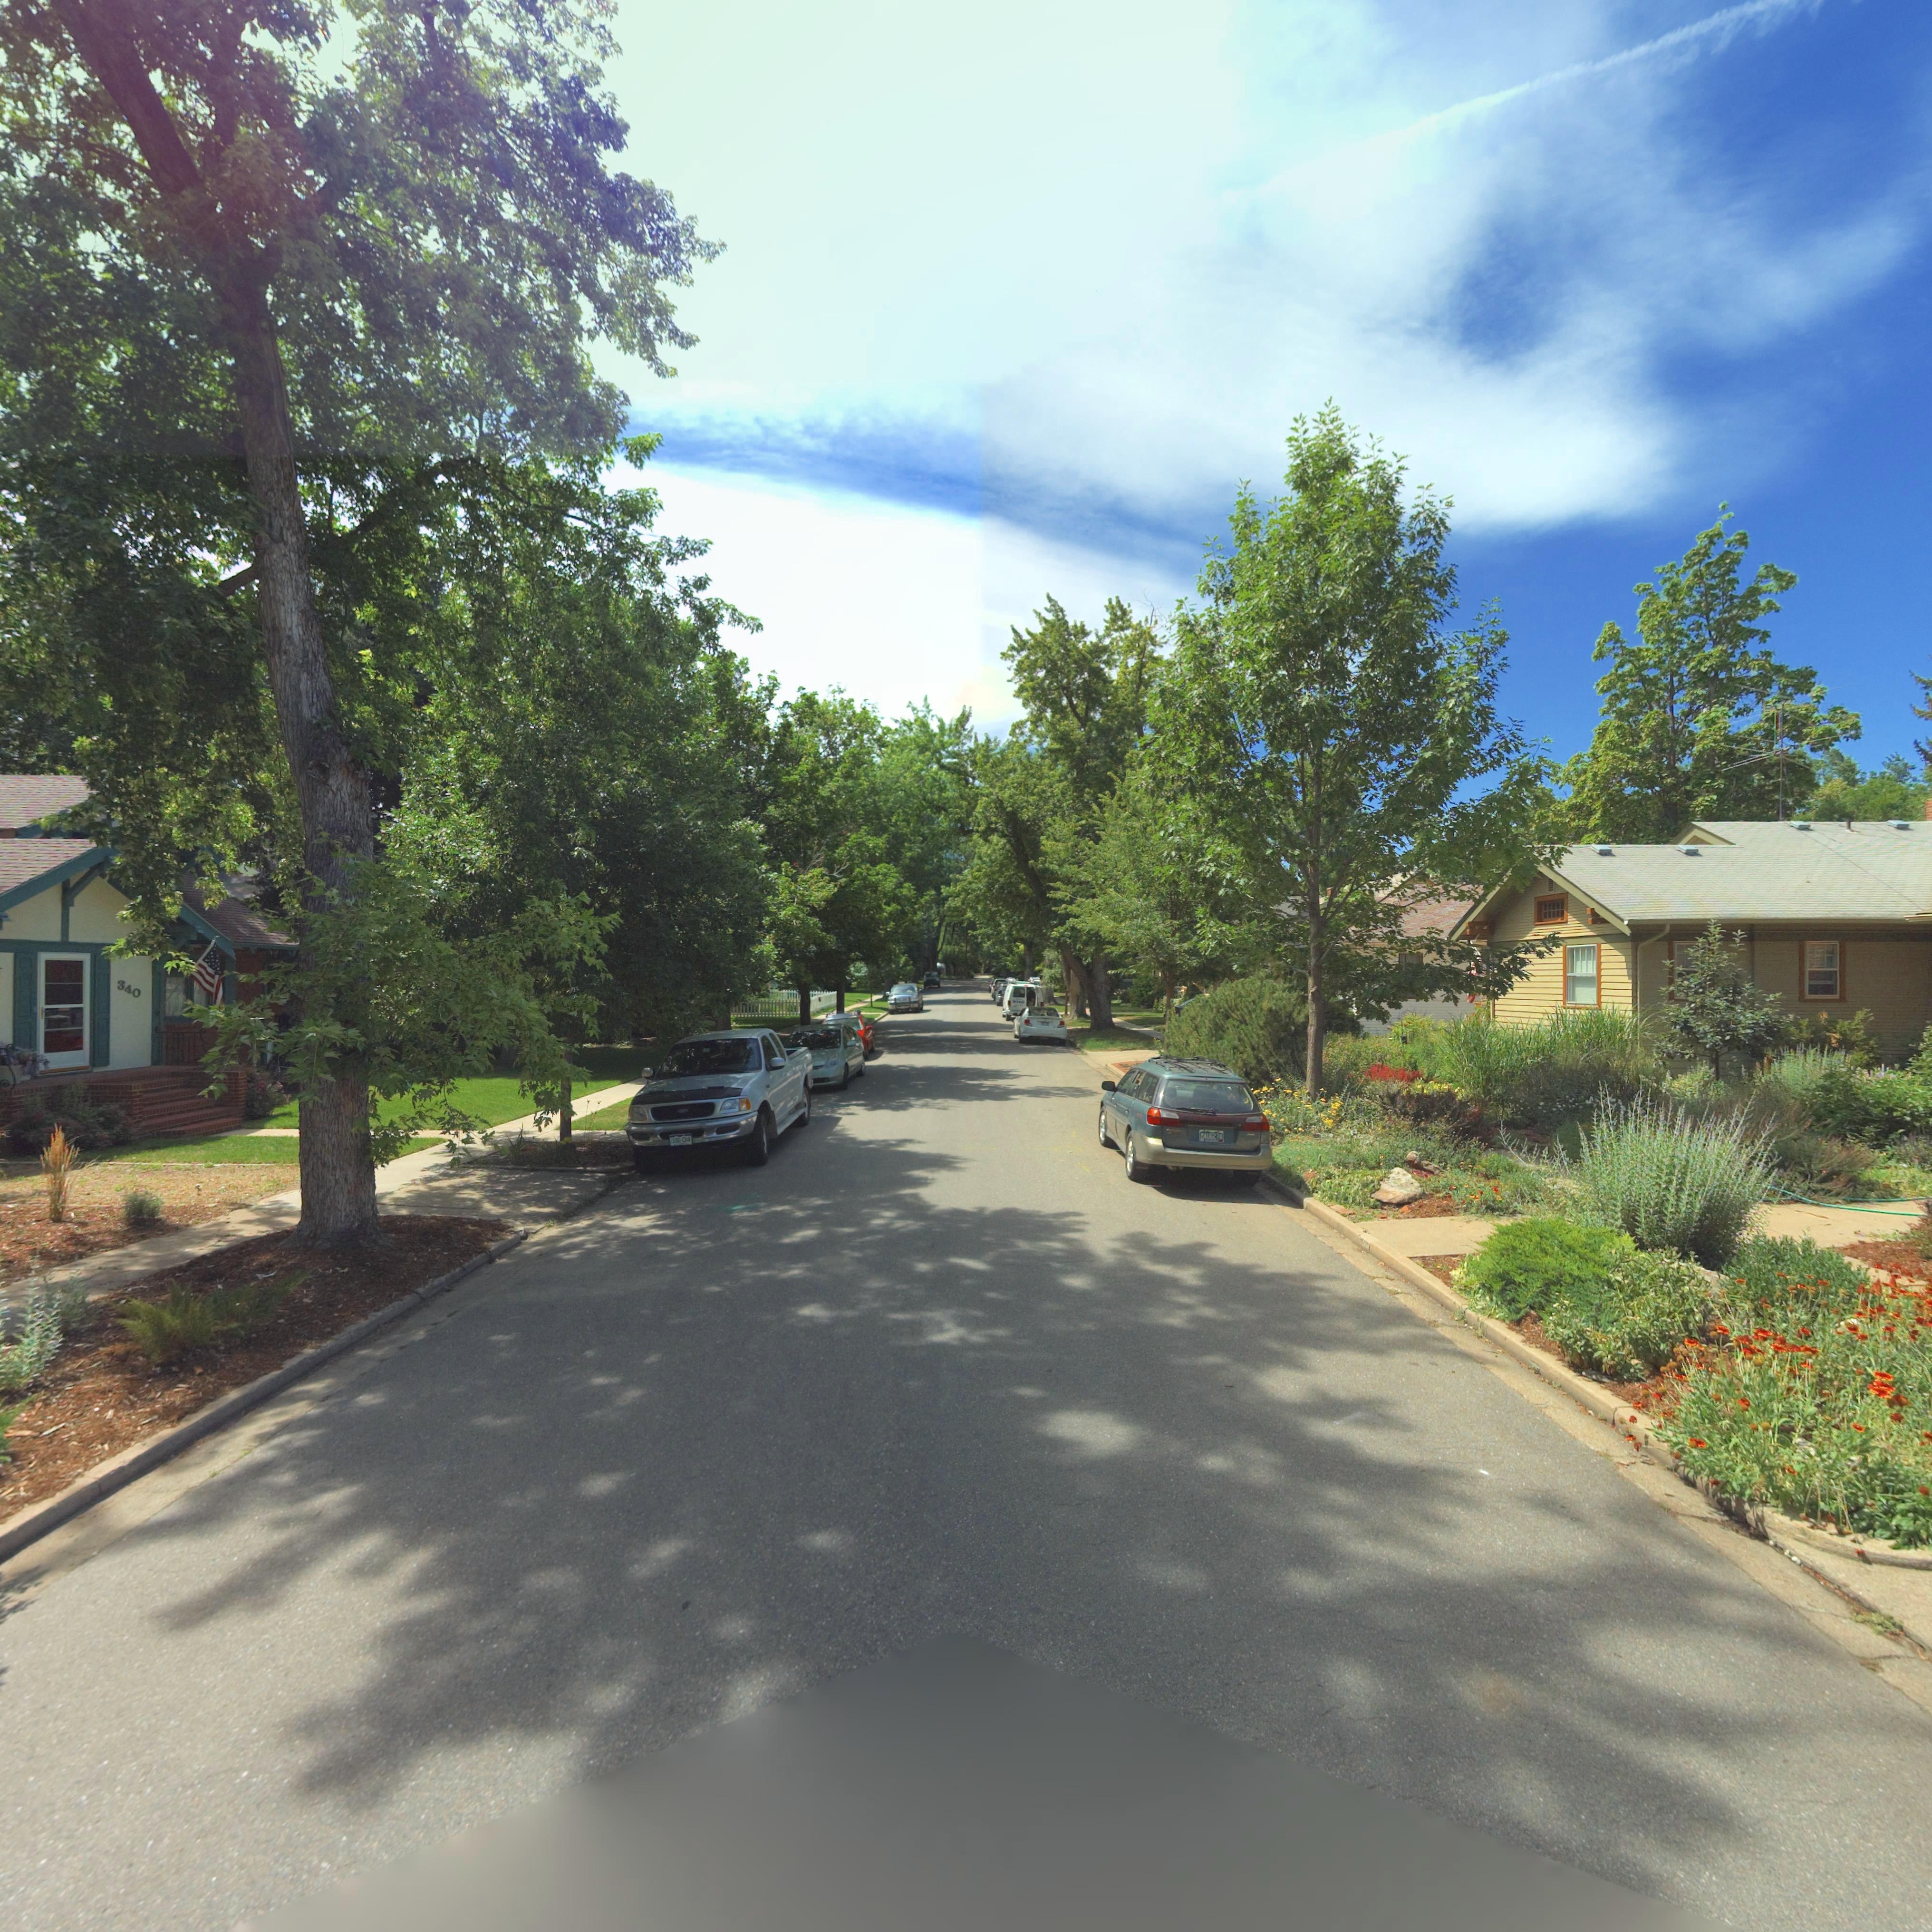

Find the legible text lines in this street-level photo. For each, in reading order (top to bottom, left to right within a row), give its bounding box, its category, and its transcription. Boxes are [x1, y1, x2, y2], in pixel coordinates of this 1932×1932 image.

[117, 979, 141, 997] StreetNumber: 340